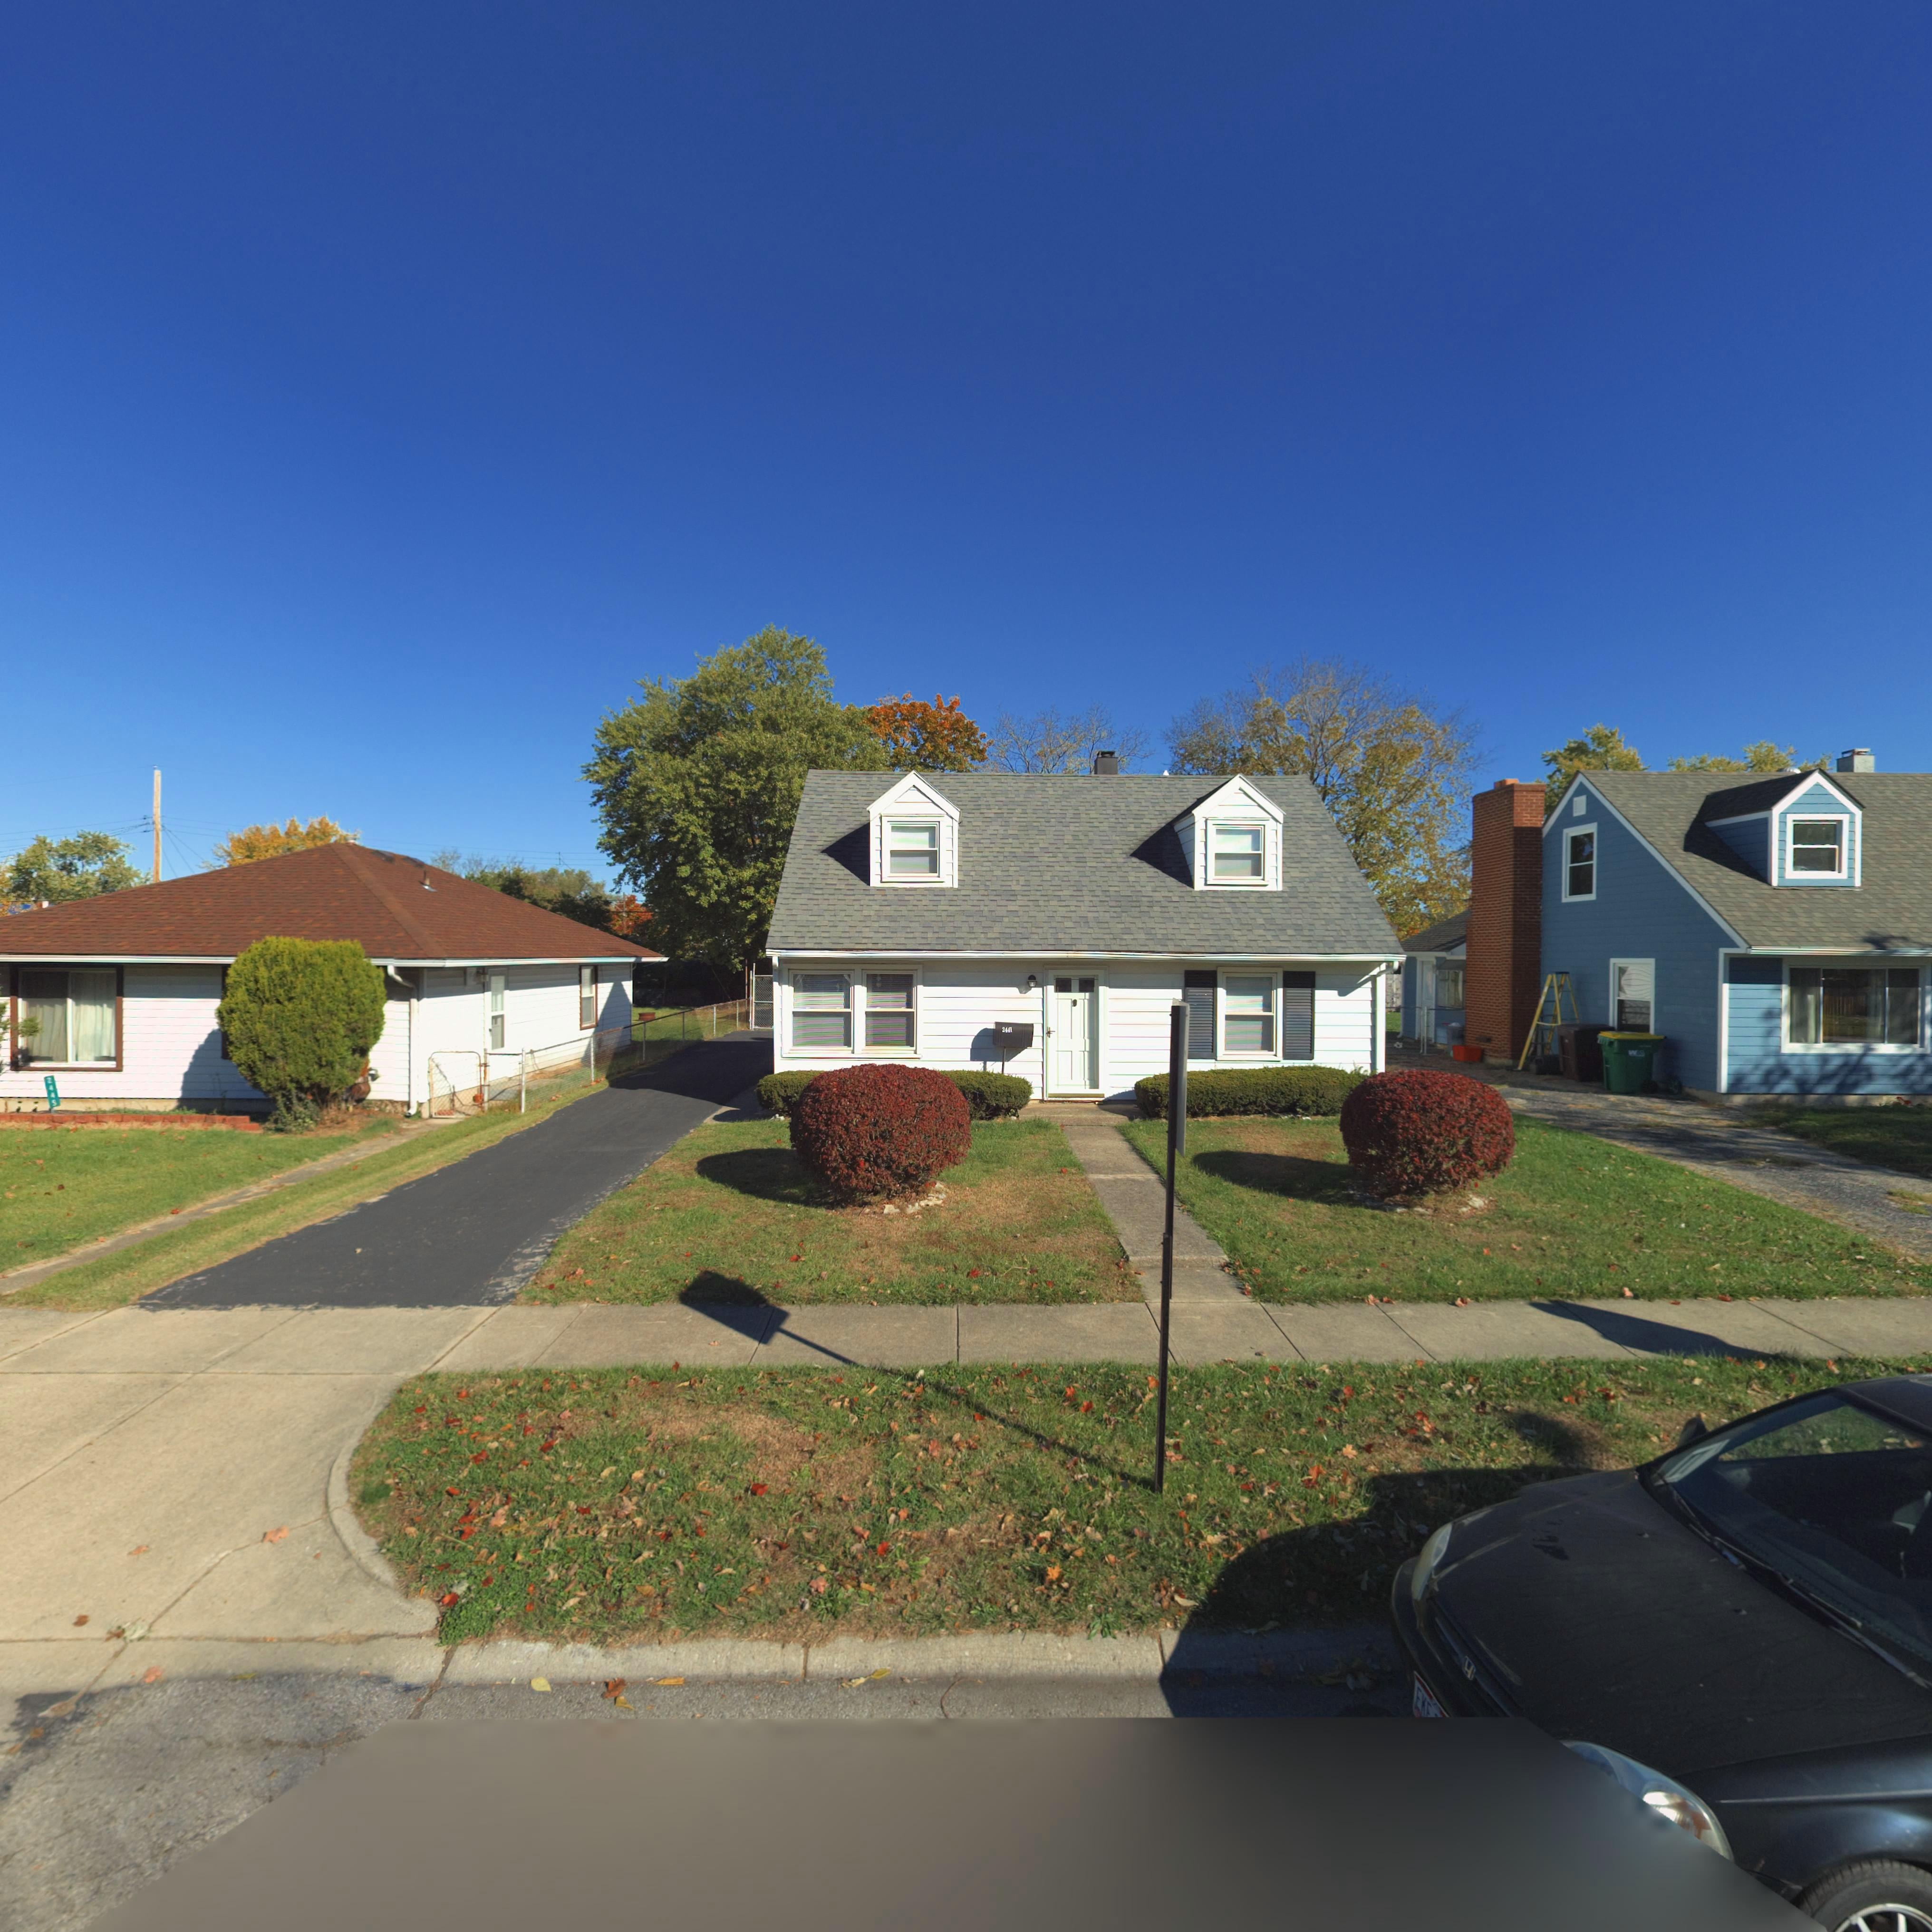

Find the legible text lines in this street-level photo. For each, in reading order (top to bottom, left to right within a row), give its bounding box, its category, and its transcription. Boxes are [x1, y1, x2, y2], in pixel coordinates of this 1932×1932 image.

[1001, 1026, 1013, 1033] StreetNumber: 2441
[45, 1076, 58, 1107] StreetNumber: 2445